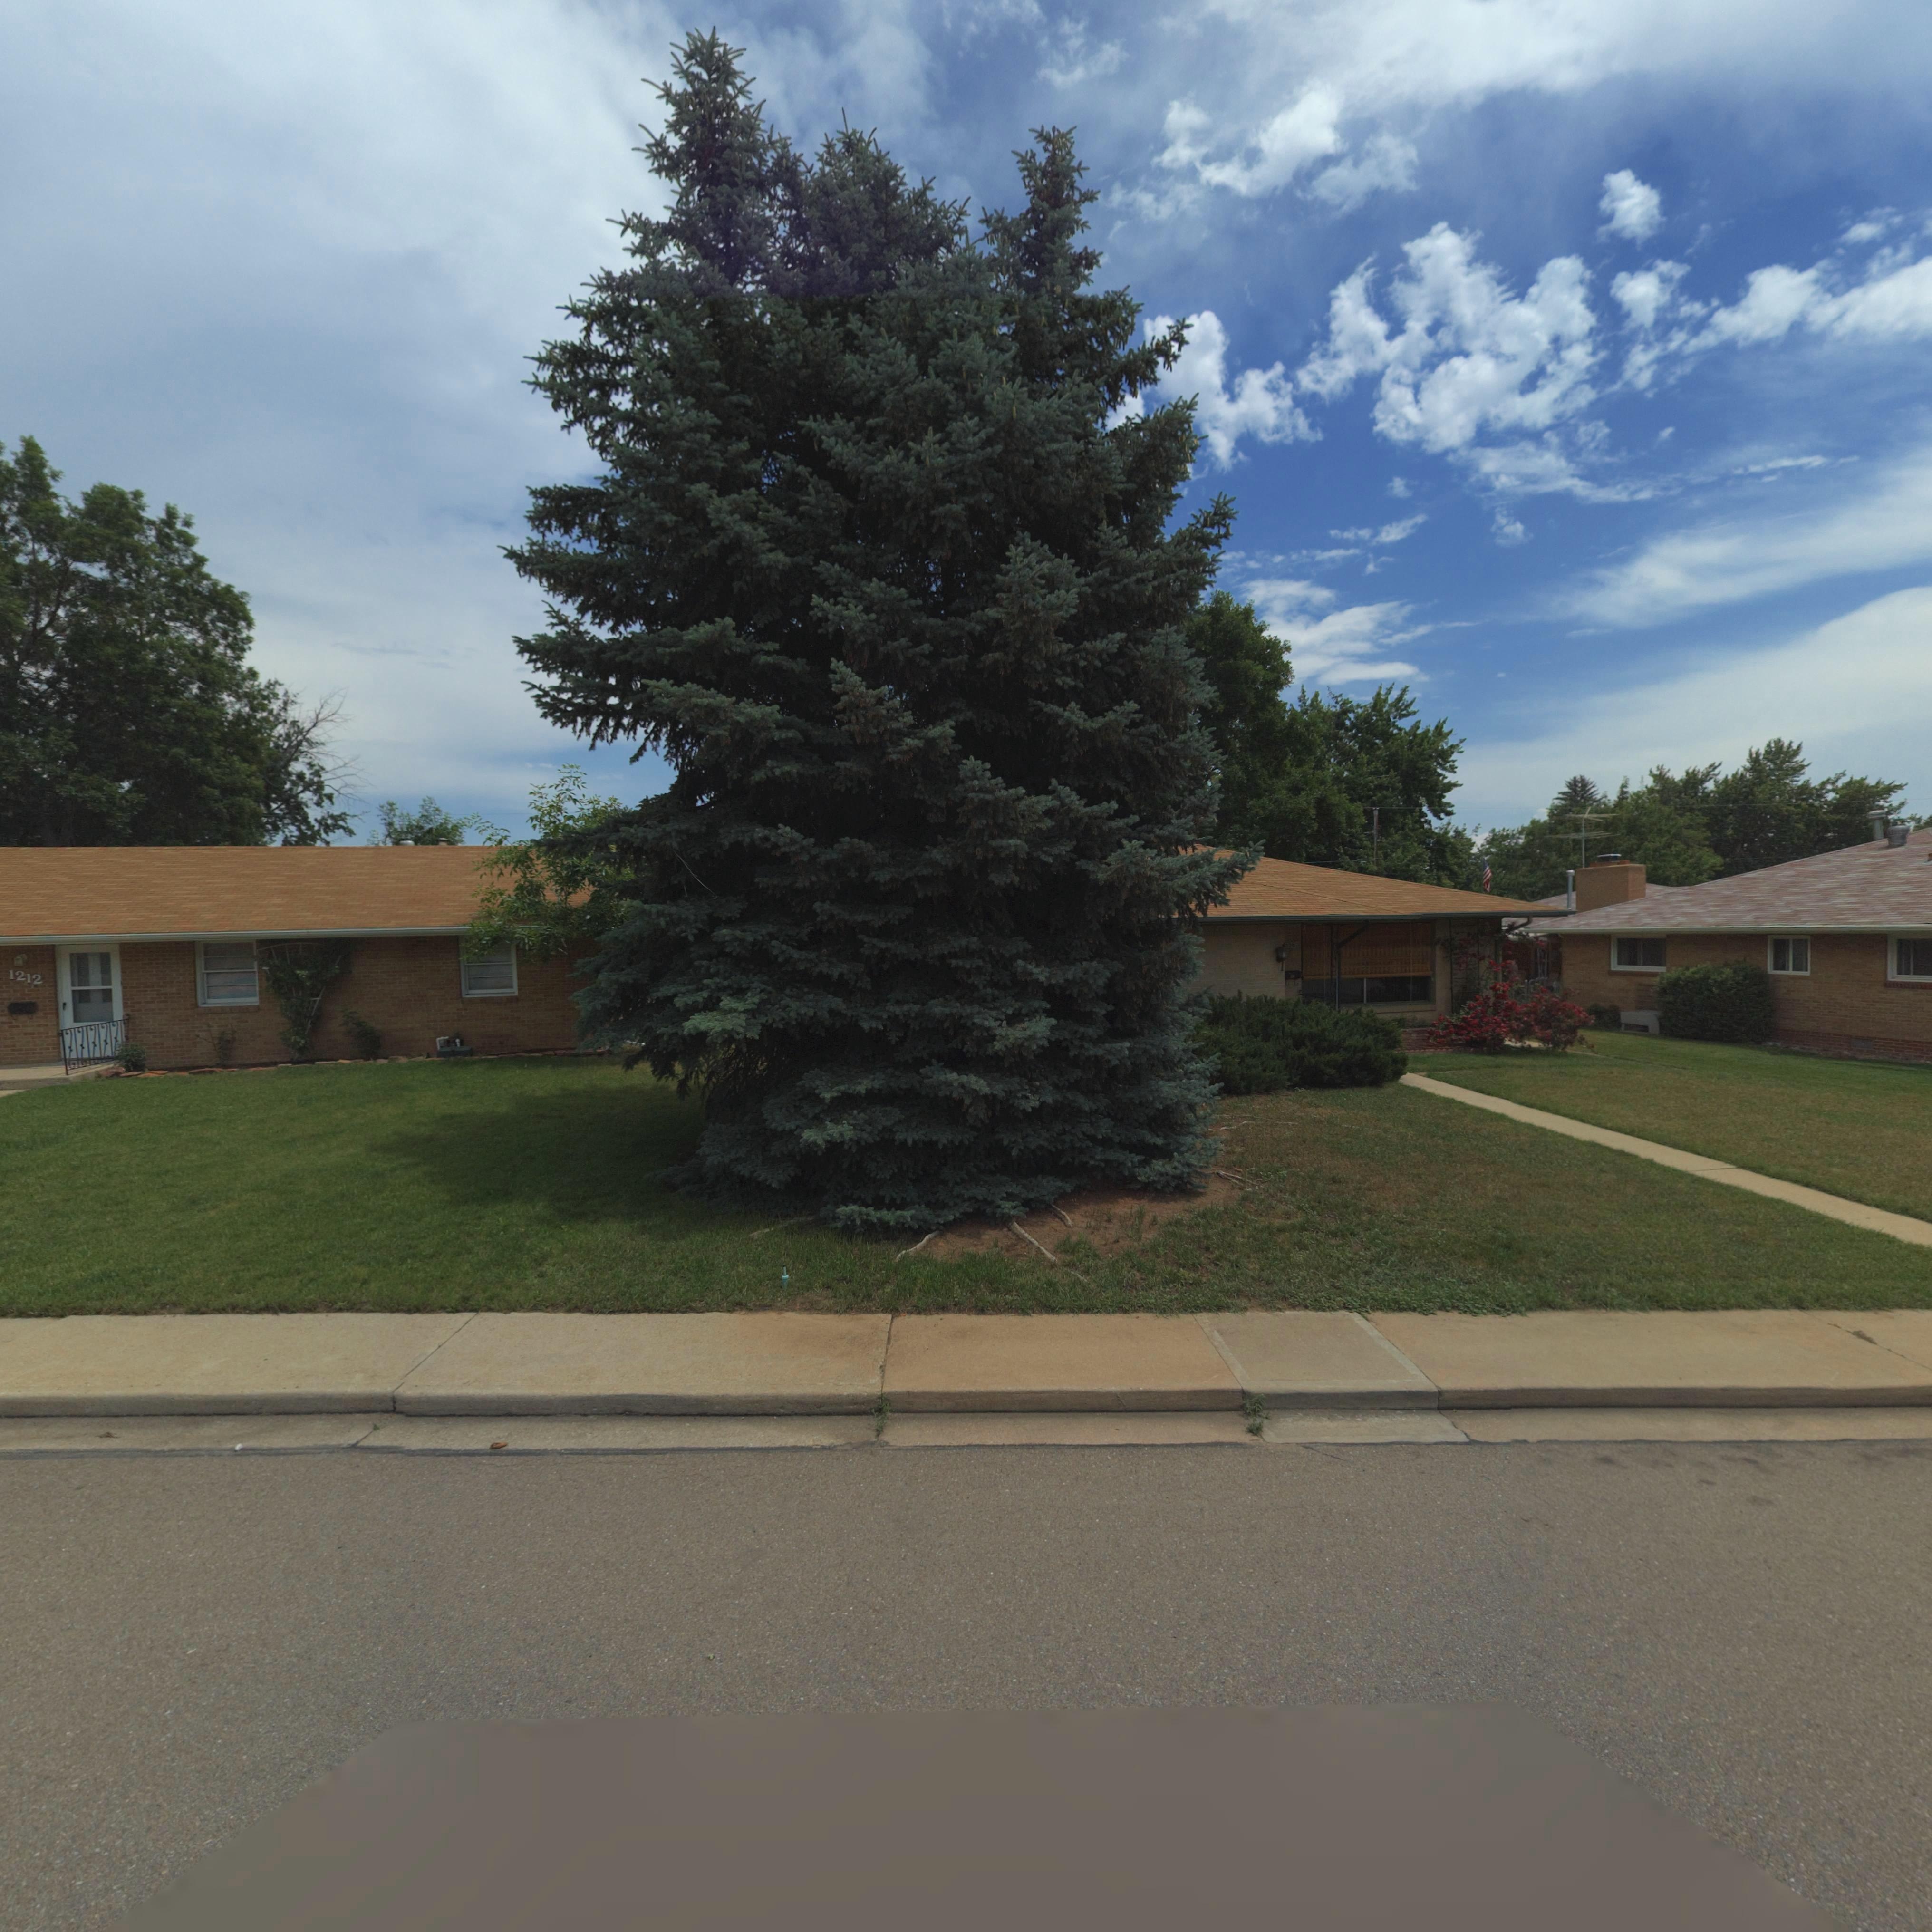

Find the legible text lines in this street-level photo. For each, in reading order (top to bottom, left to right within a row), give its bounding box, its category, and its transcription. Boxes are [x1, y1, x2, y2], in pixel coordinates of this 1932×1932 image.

[8, 969, 43, 984] StreetNumber: 1212